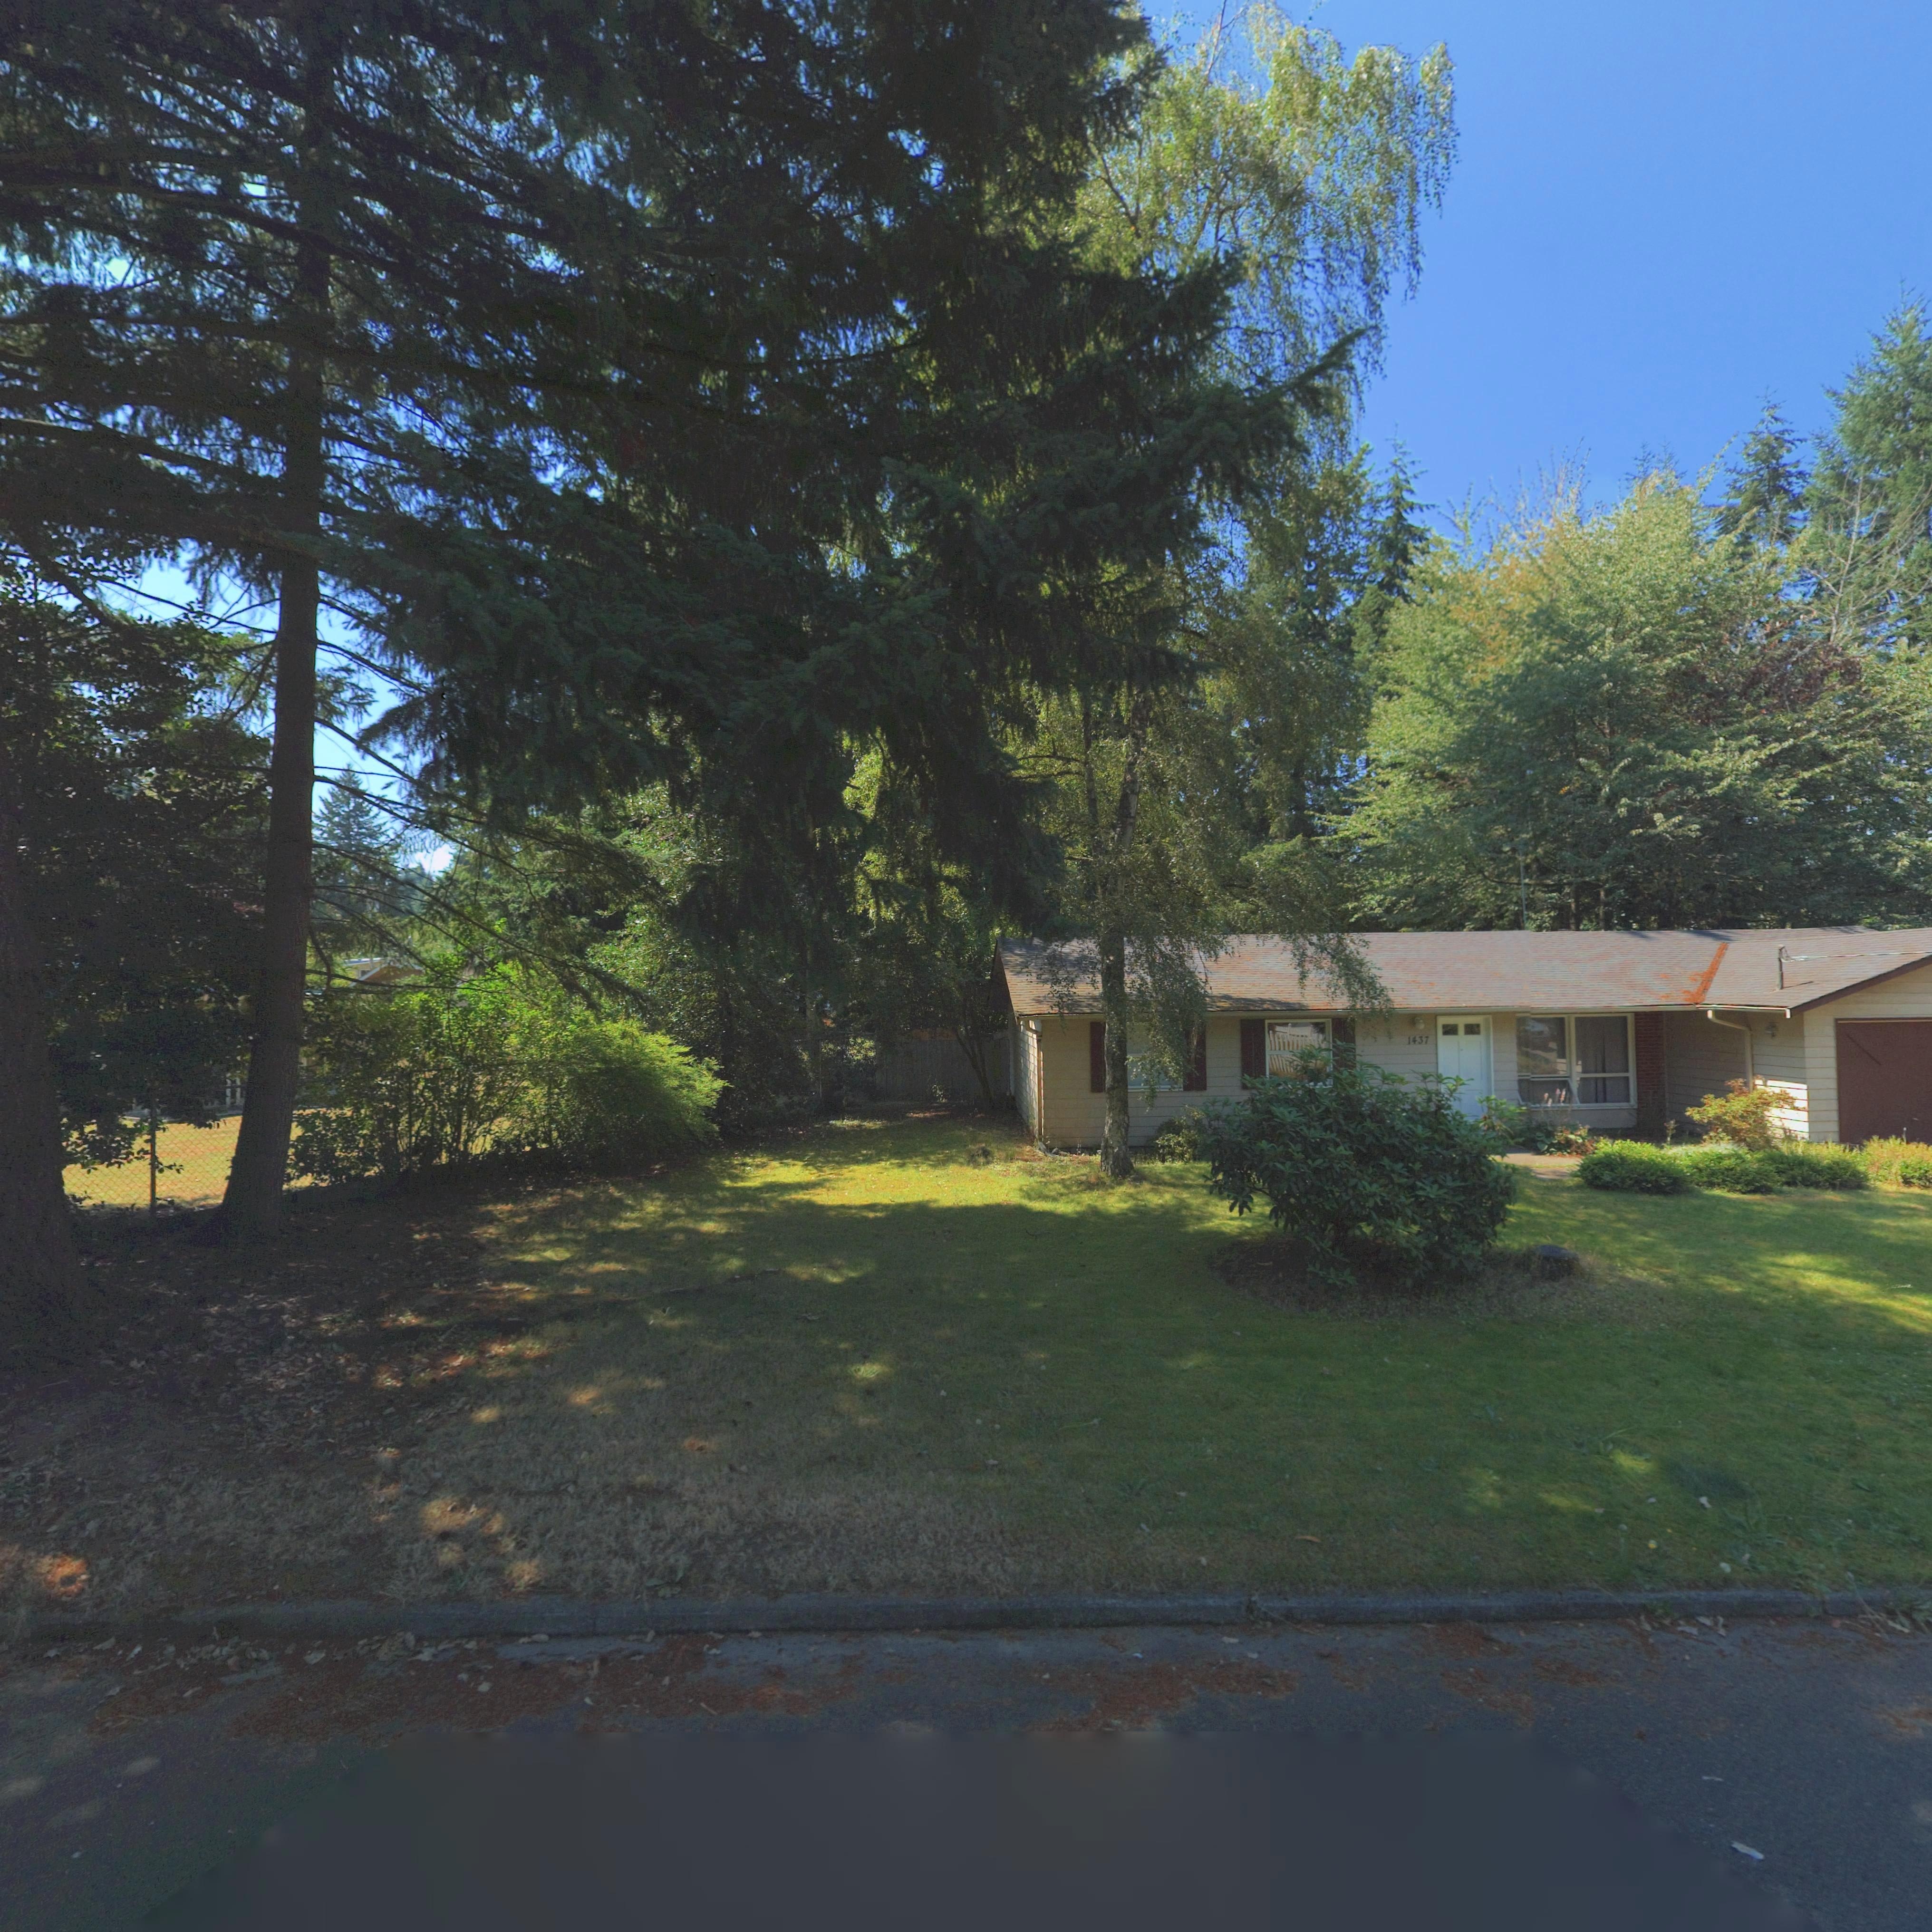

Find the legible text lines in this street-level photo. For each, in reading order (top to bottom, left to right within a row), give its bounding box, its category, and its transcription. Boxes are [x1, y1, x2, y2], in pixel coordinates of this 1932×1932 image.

[1408, 1035, 1429, 1045] StreetNumber: 1437